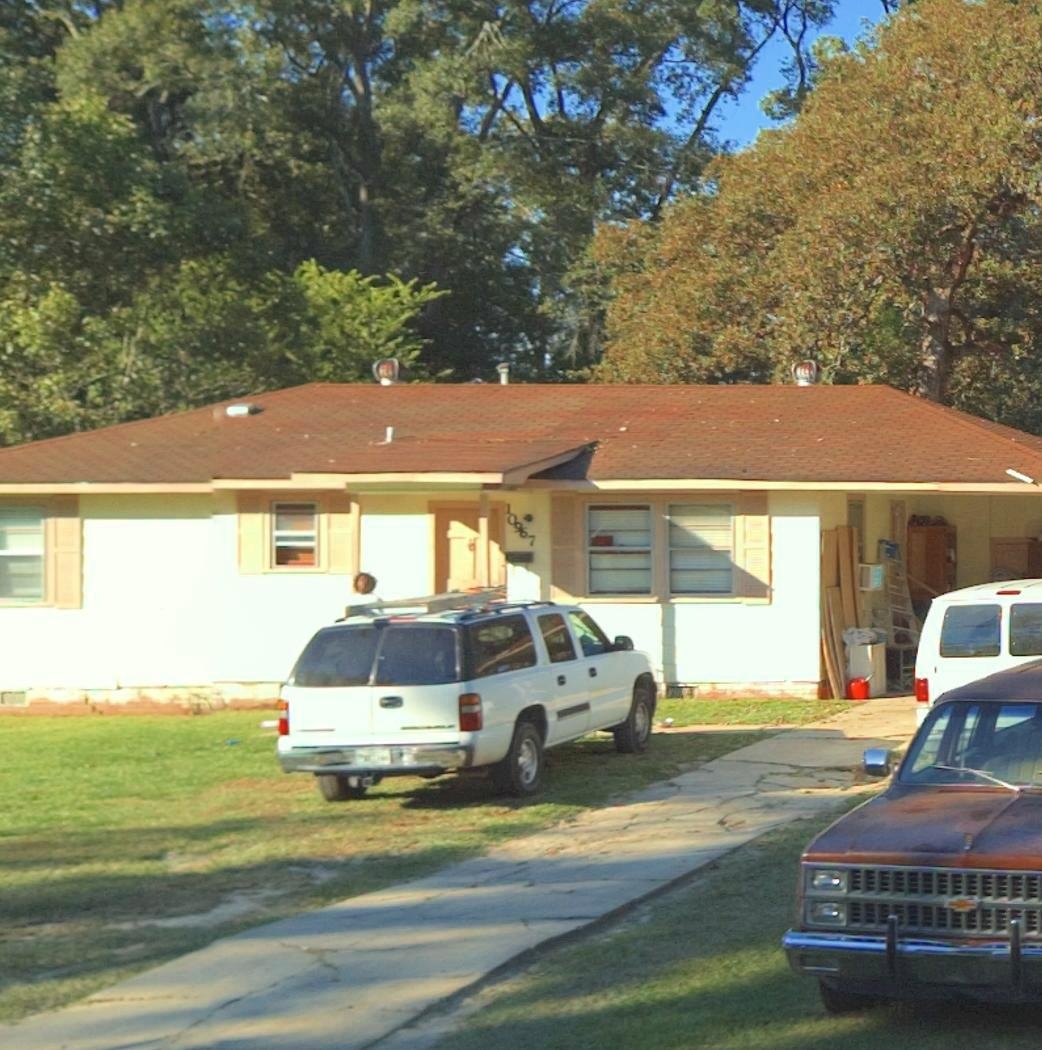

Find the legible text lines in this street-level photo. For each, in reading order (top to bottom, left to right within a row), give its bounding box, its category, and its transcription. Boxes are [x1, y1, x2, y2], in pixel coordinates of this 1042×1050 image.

[505, 503, 537, 547] StreetNumber: 10967